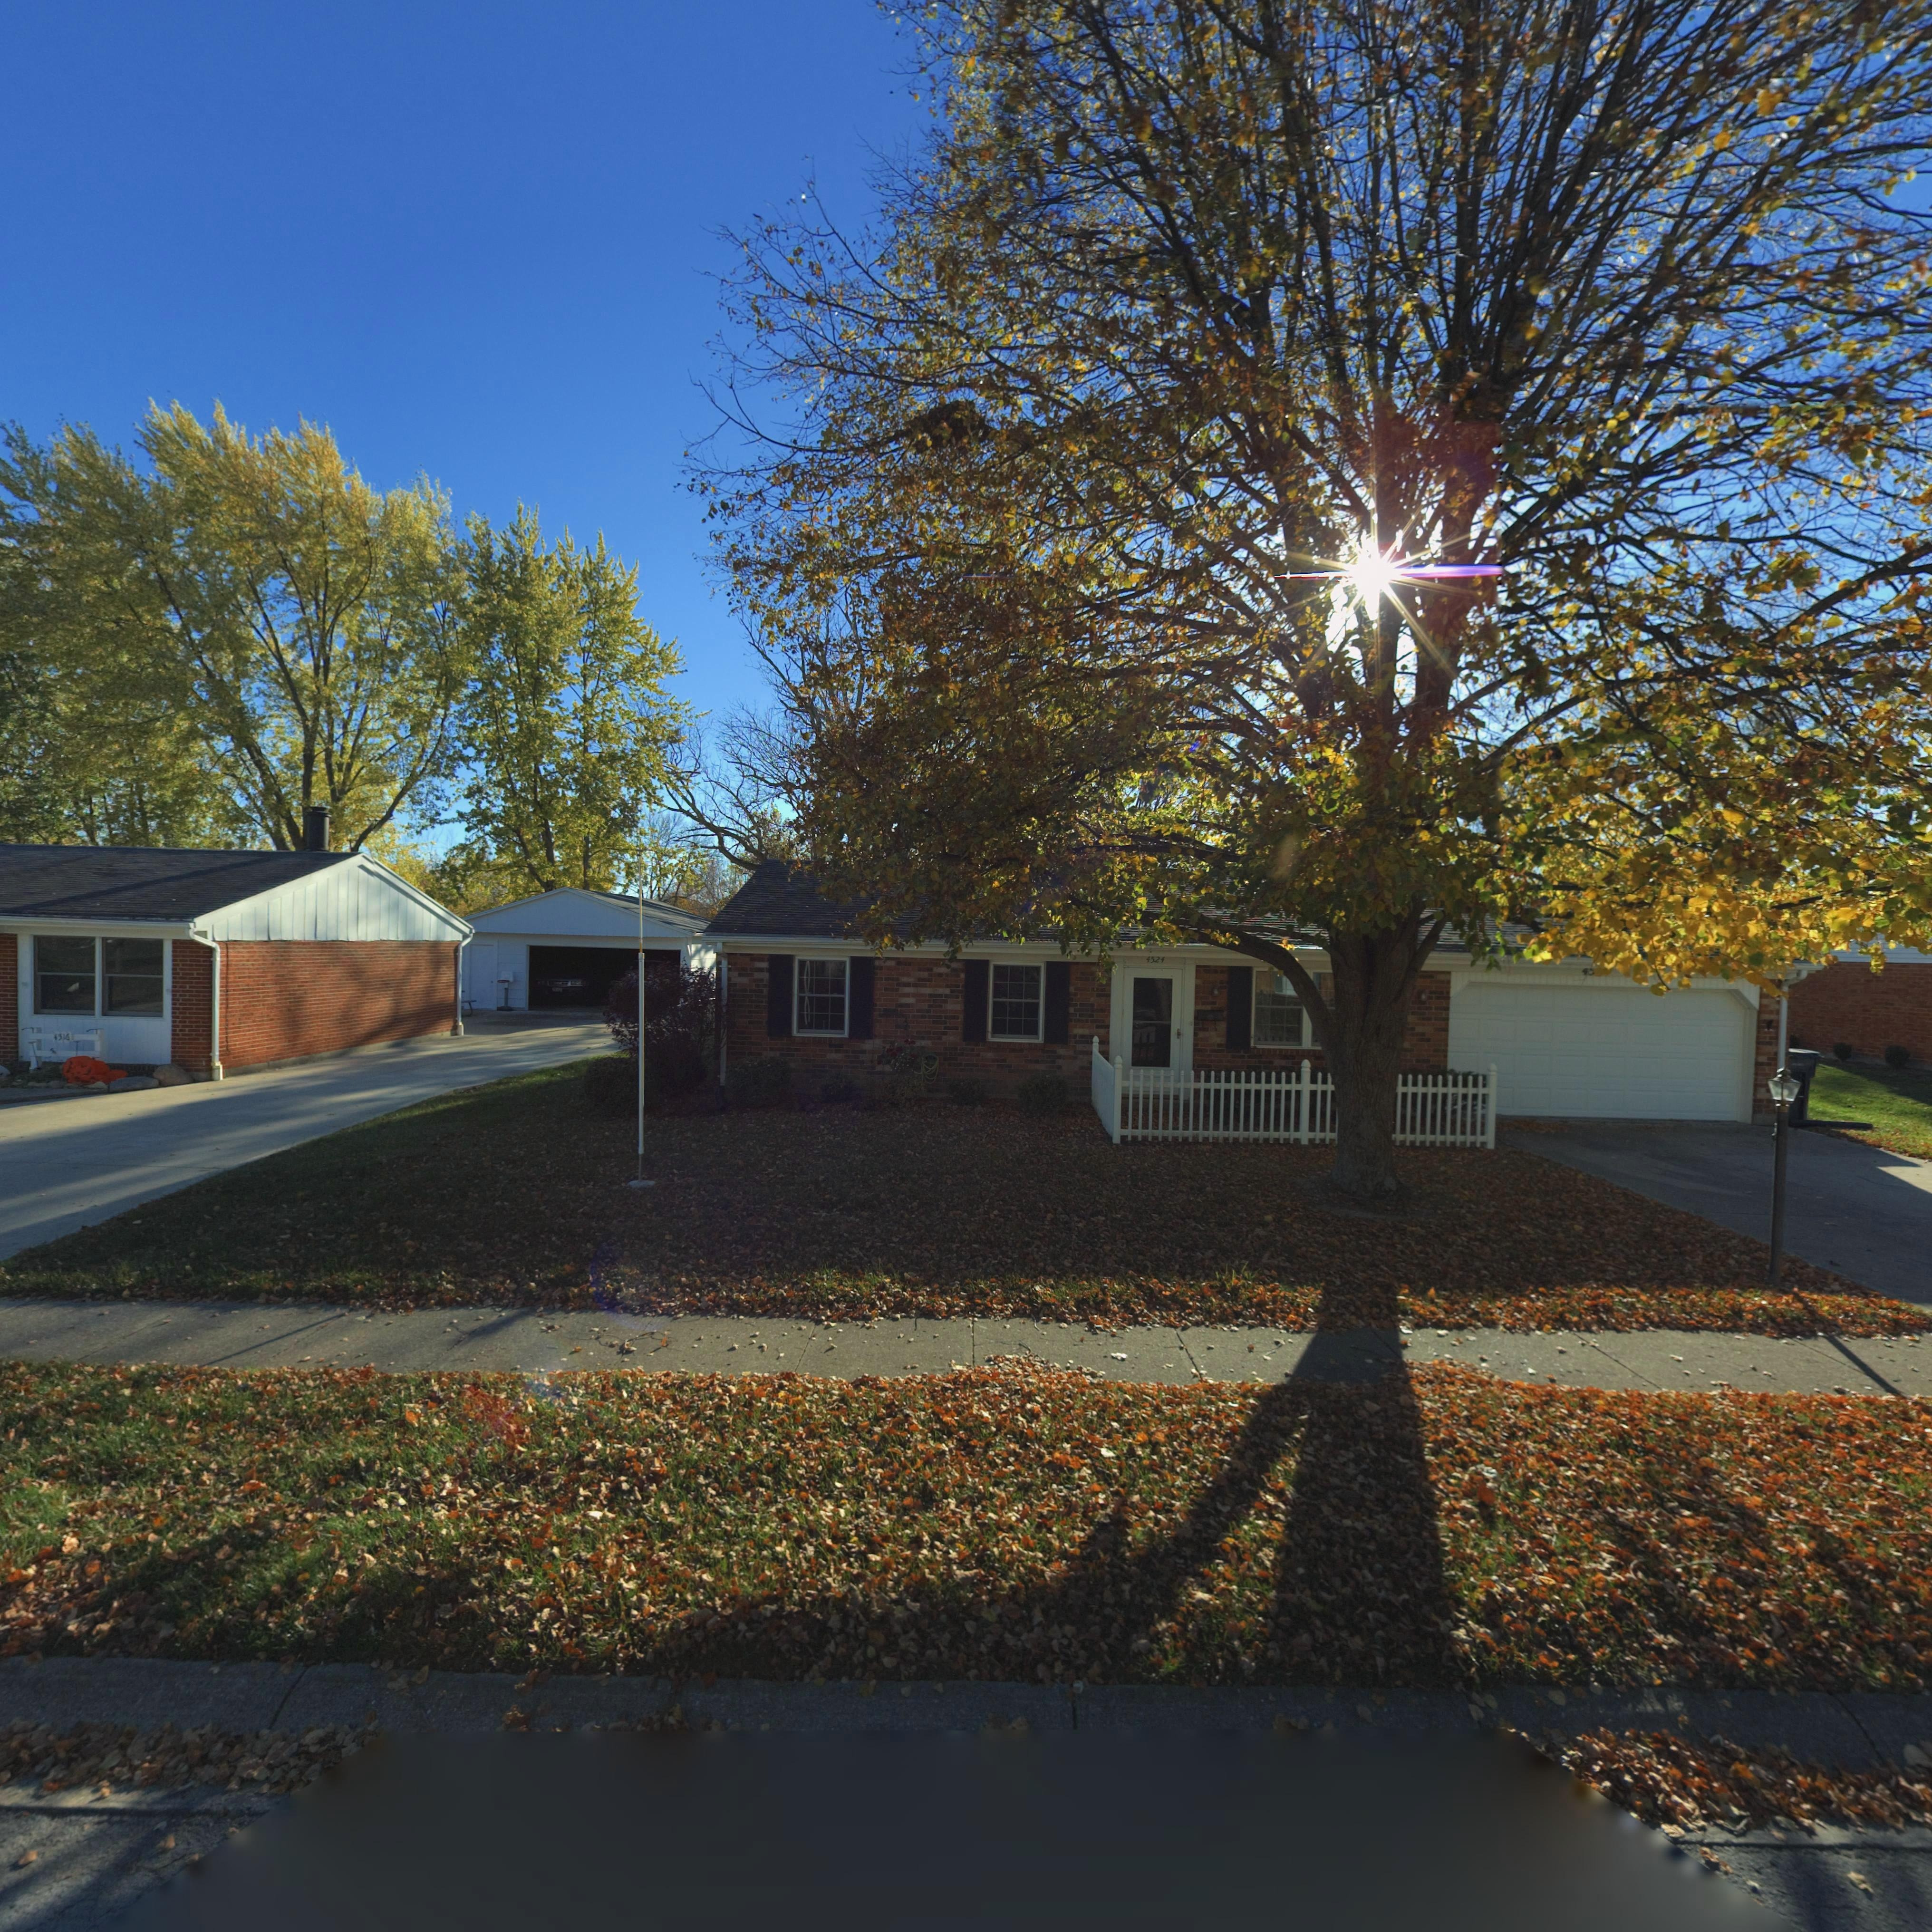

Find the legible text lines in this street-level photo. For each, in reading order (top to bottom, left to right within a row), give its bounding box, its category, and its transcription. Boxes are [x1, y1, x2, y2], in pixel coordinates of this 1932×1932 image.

[1145, 956, 1166, 963] StreetNumber: 4524
[1580, 967, 1589, 976] StreetNumber: 4
[54, 1034, 70, 1041] StreetNumber: 4516